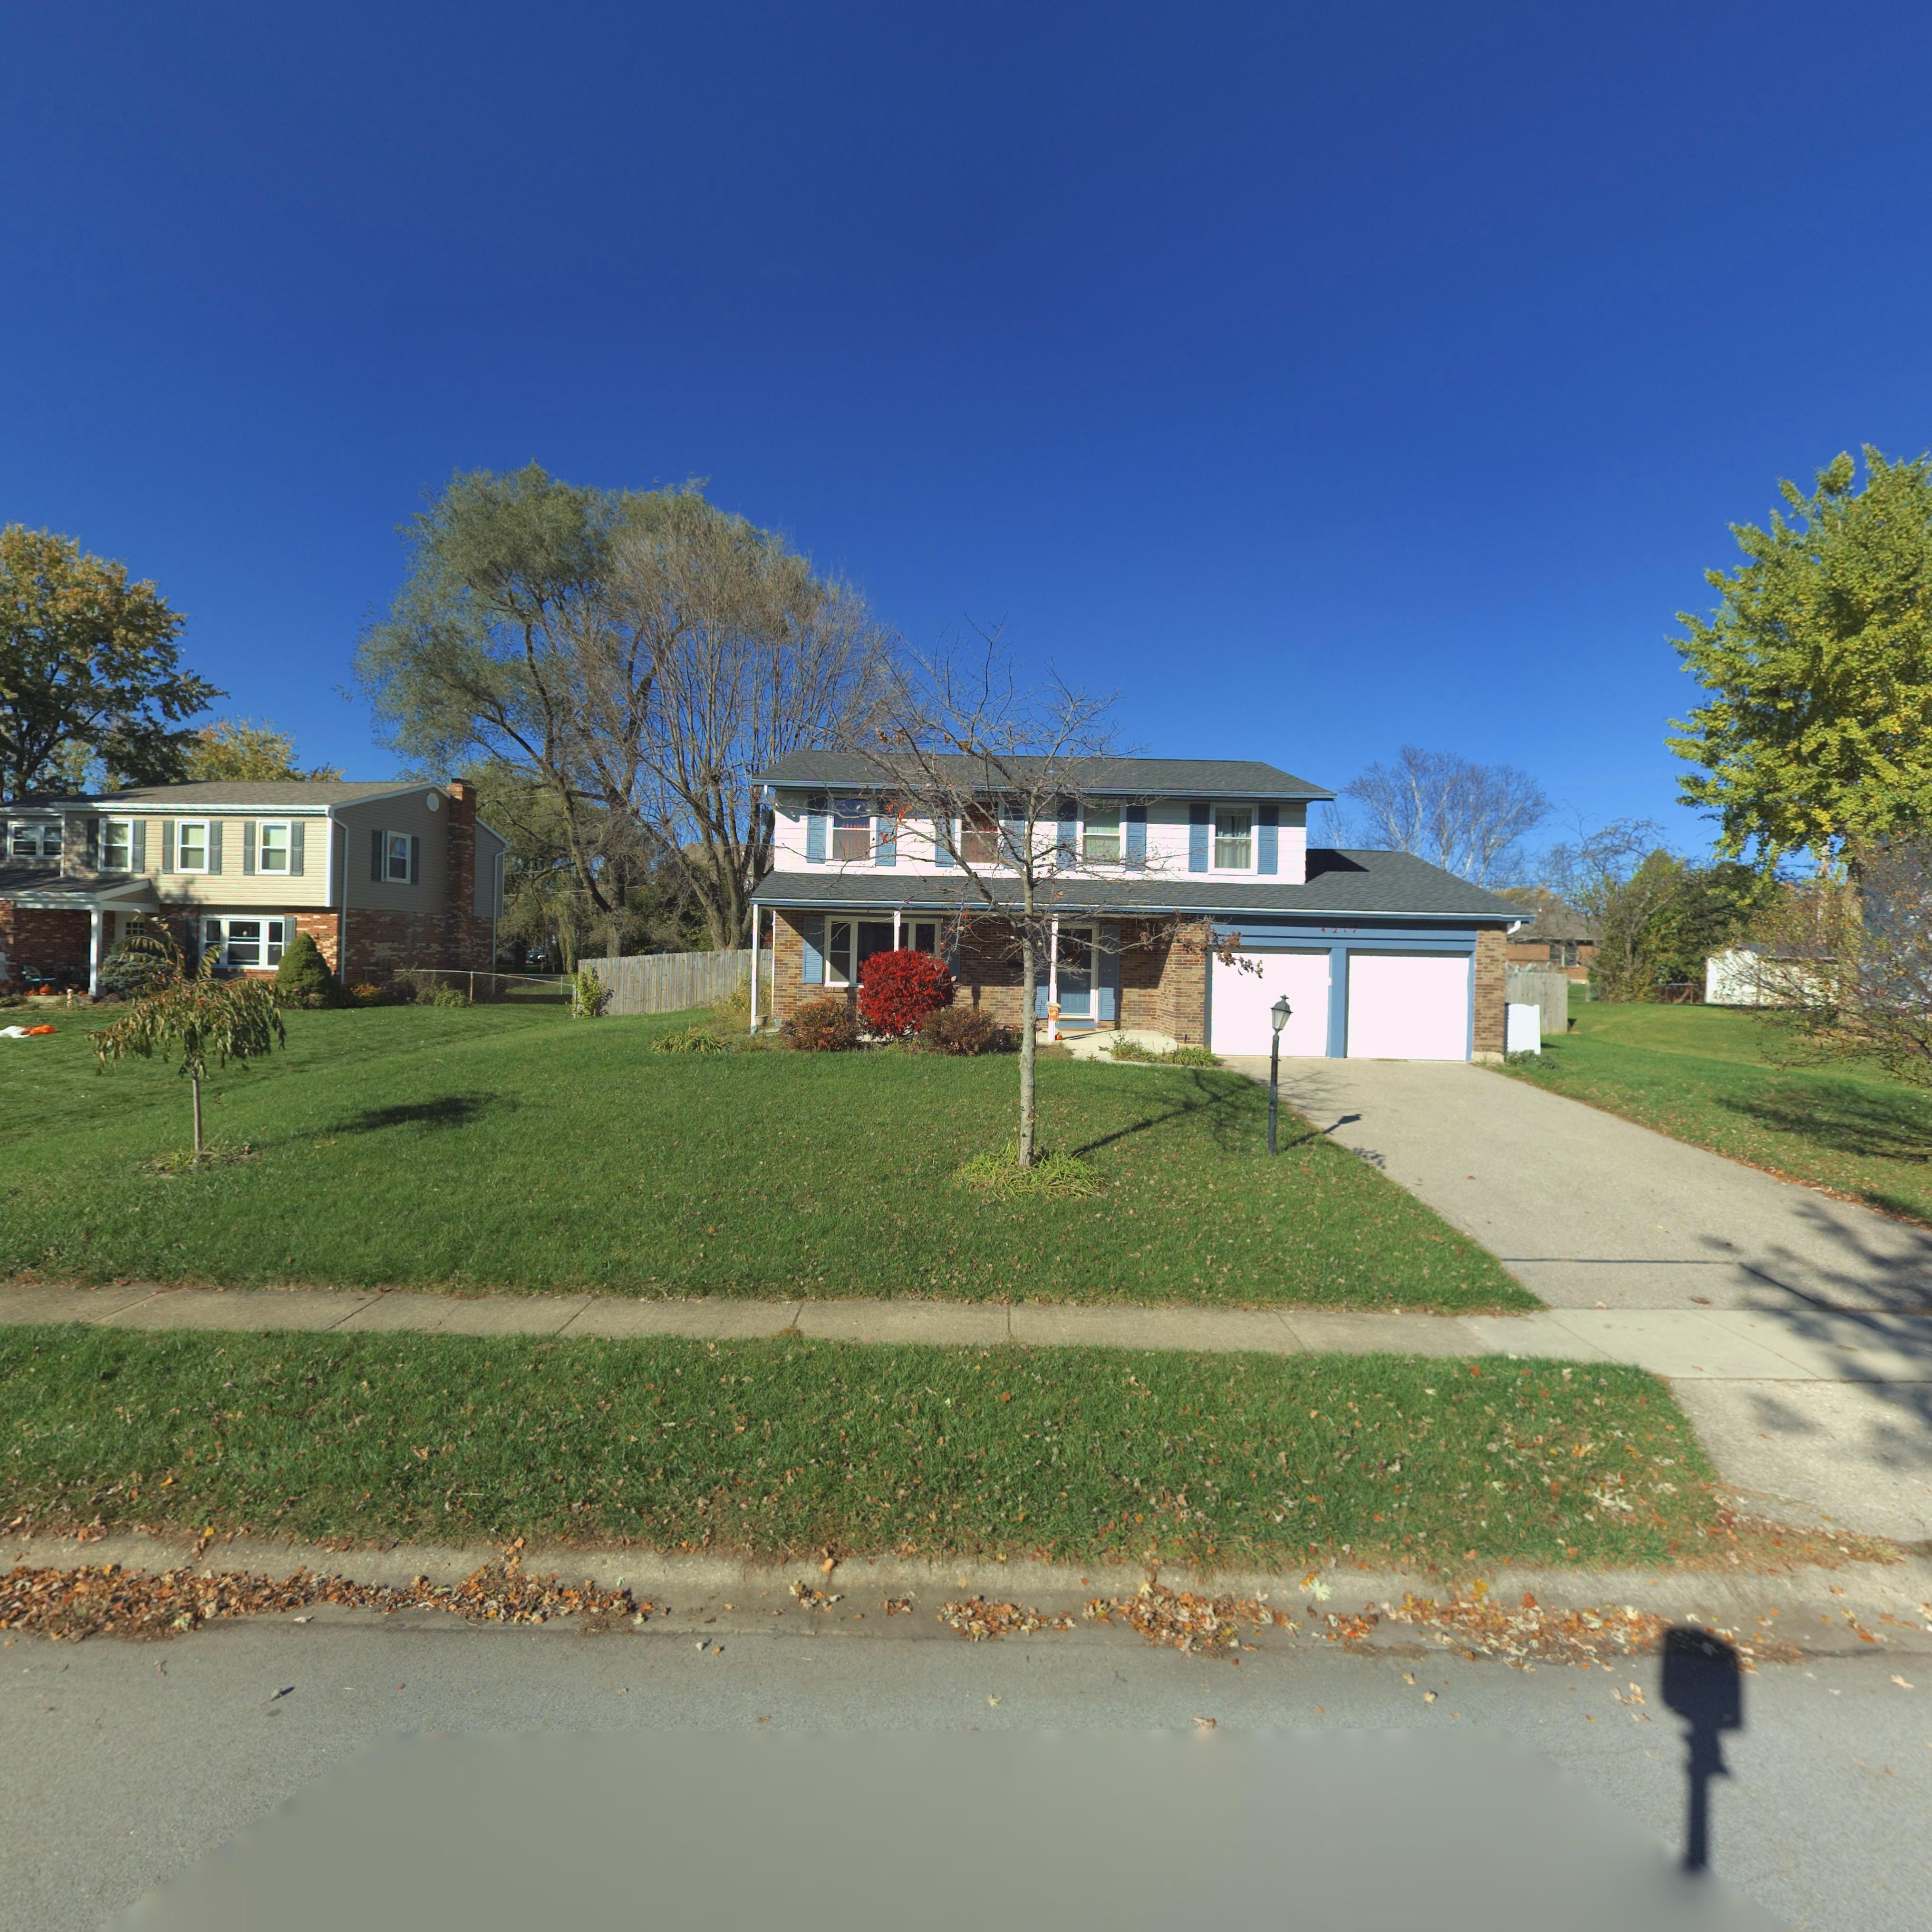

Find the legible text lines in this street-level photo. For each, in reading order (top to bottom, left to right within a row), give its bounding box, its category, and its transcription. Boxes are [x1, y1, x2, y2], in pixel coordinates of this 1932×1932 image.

[1320, 924, 1360, 934] StreetNumber: 4217